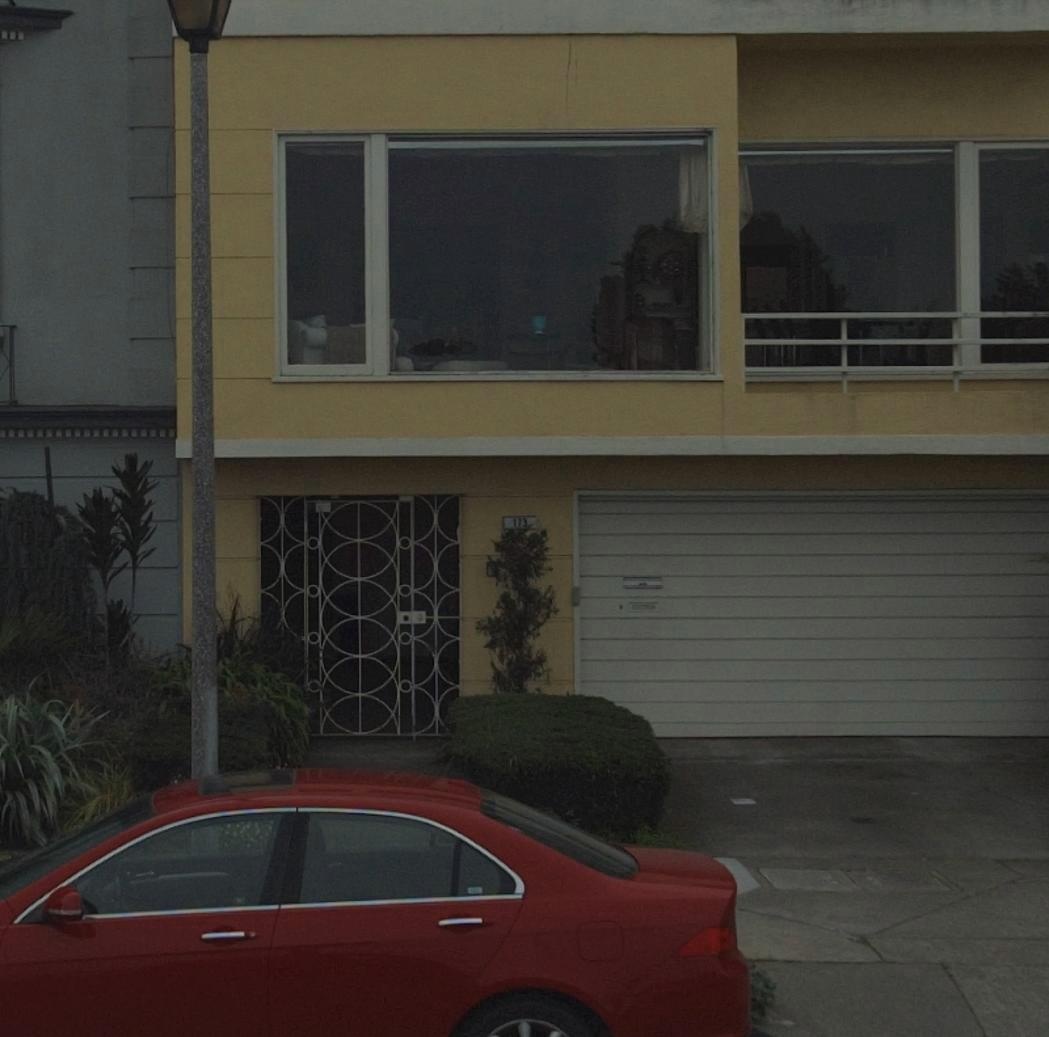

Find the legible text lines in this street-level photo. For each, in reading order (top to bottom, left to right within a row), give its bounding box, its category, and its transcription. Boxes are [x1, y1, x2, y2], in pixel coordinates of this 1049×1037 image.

[512, 517, 529, 528] StreetNumber: 173